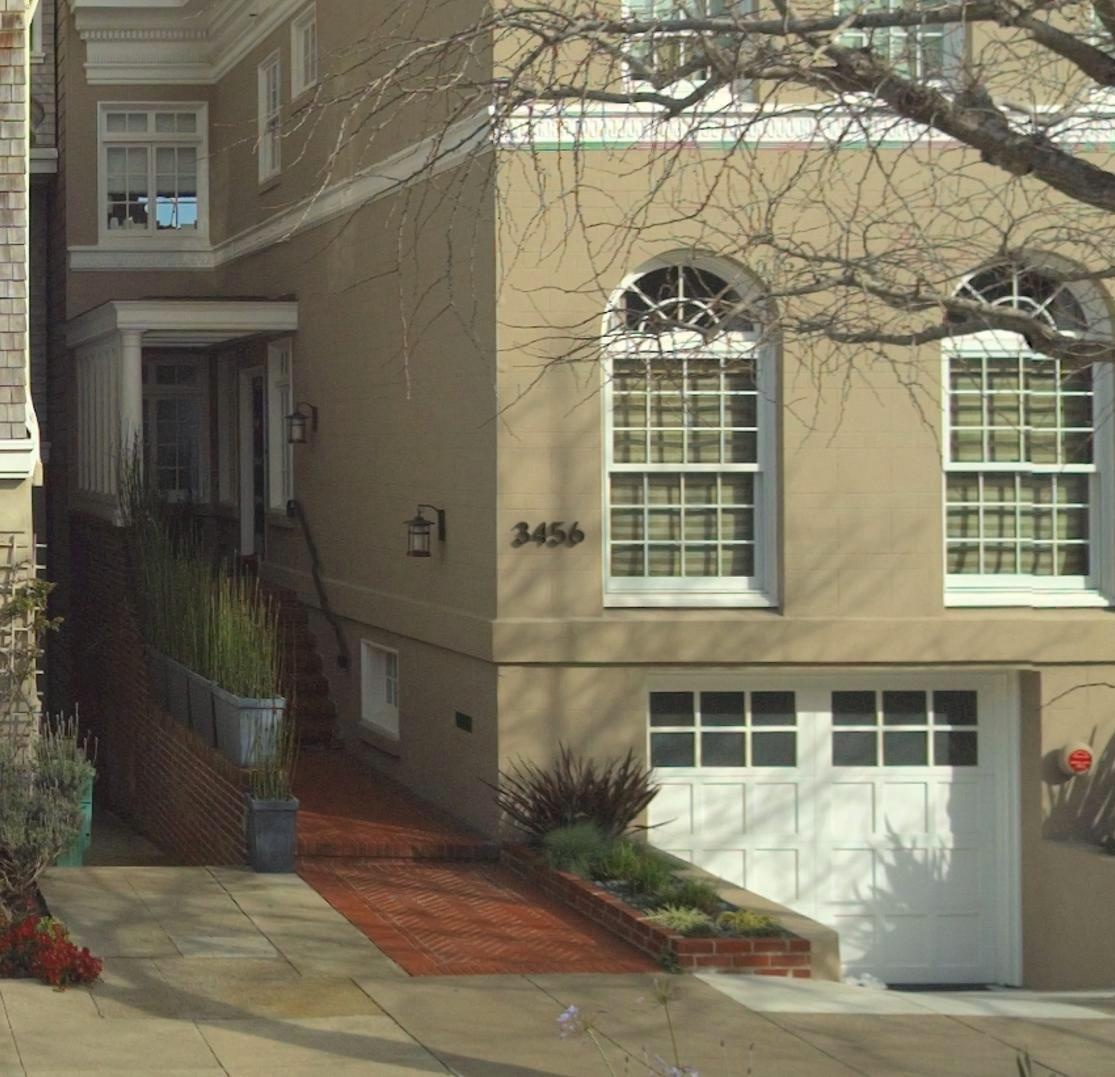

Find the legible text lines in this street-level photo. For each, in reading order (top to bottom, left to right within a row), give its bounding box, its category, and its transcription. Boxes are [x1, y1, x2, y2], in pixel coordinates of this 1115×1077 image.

[509, 519, 588, 546] StreetNumber: 3456